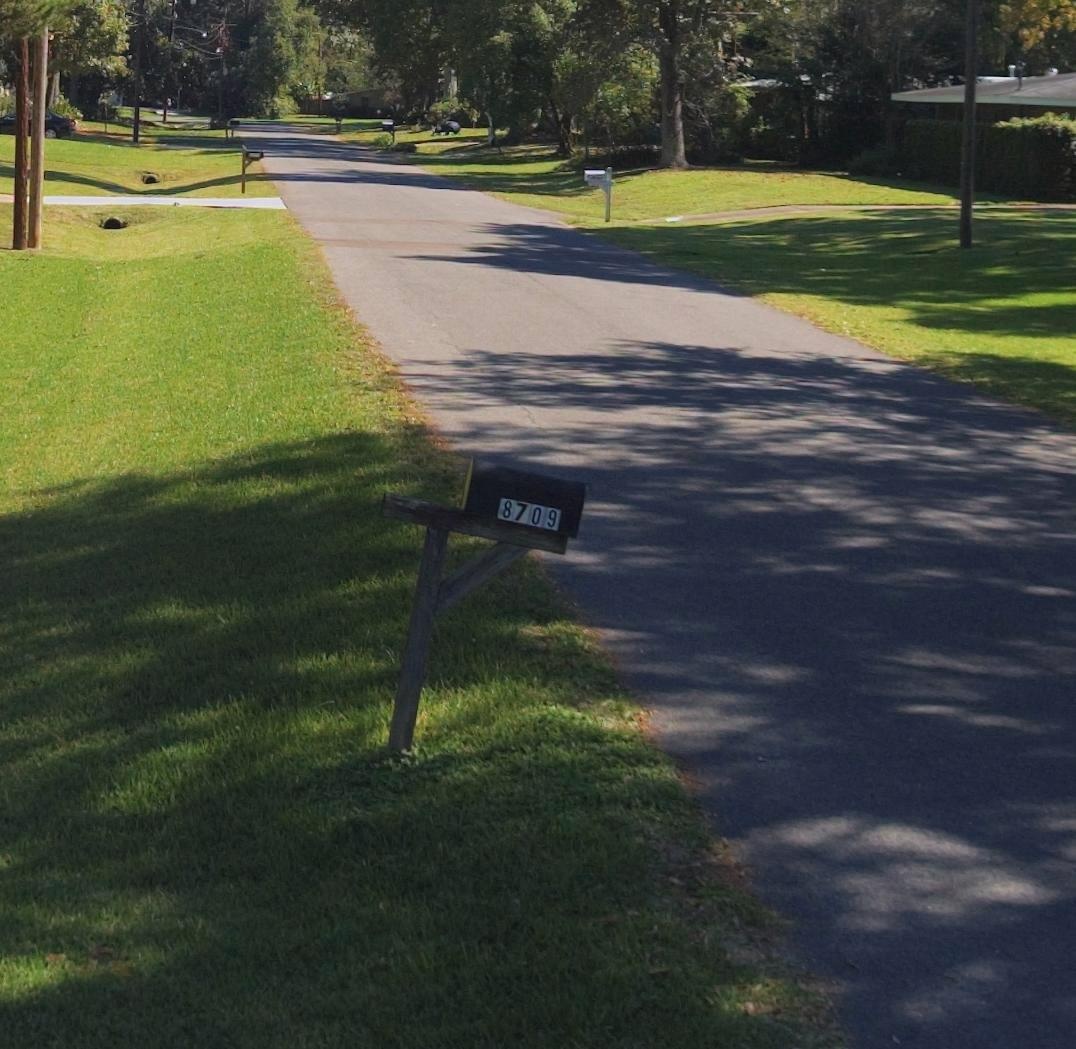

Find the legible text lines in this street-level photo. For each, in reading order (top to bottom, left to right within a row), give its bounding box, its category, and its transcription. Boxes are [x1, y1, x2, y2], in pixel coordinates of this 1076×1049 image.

[497, 496, 562, 531] StreetNumber: 8709